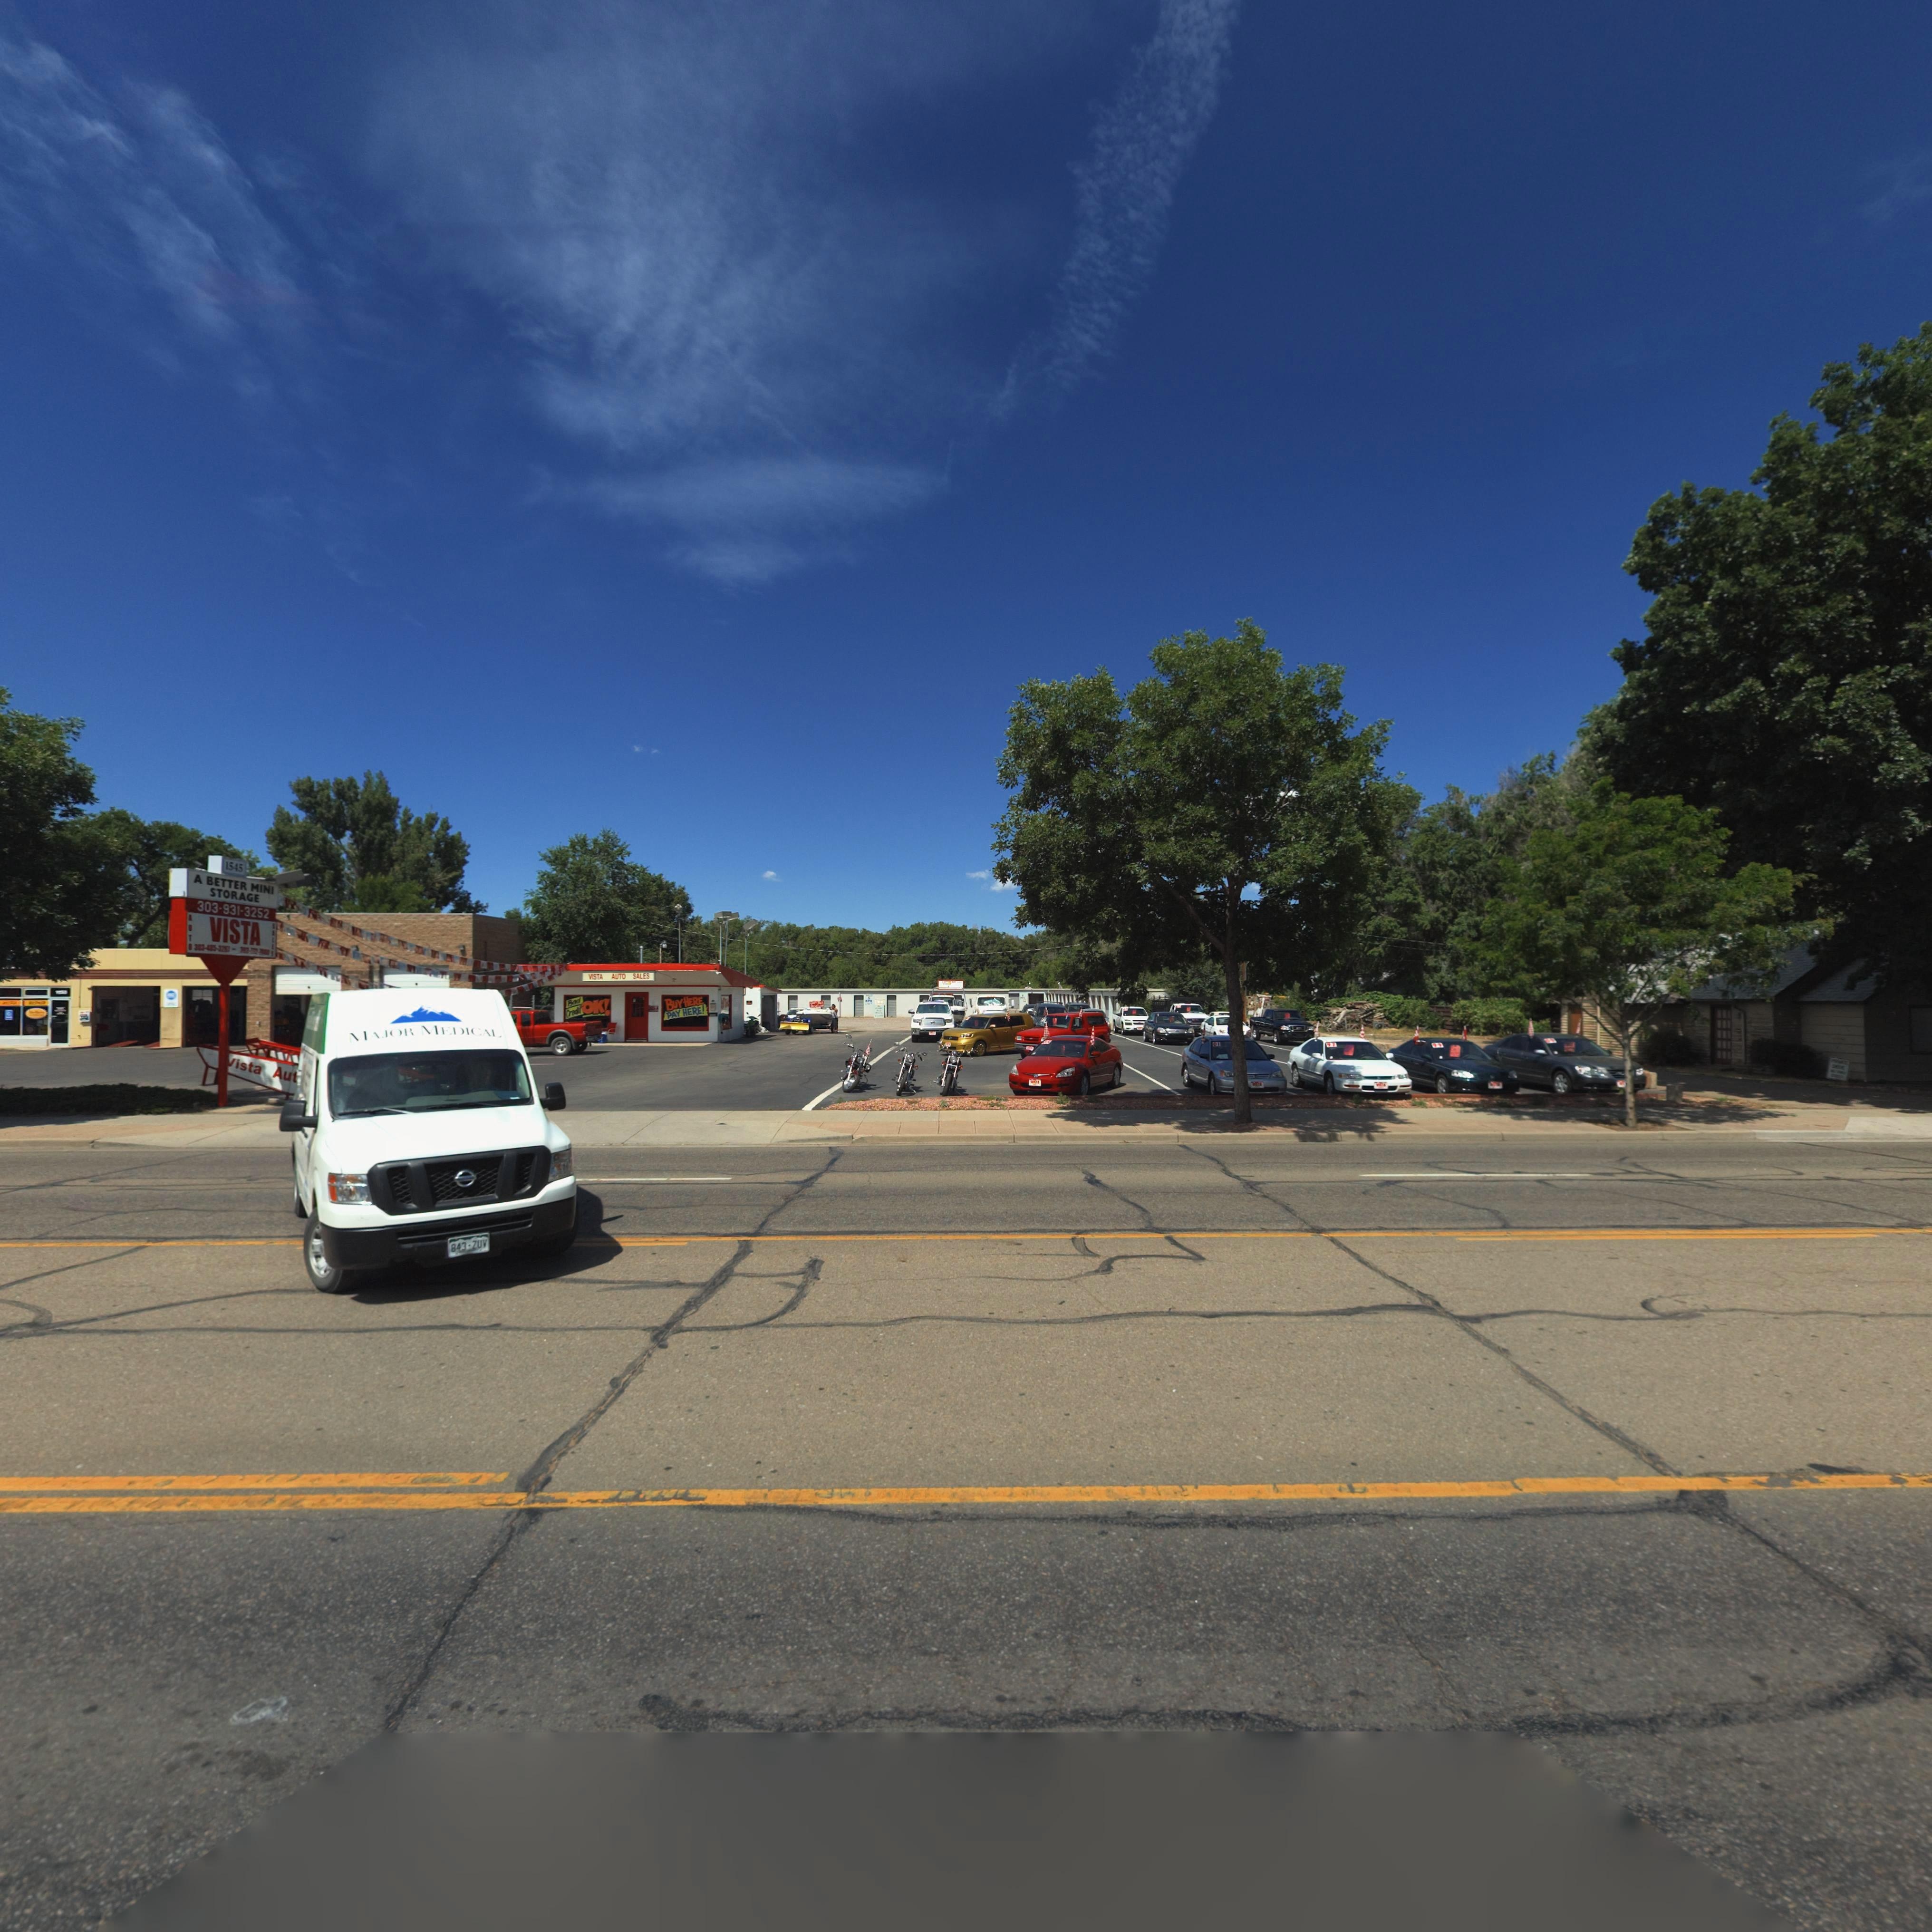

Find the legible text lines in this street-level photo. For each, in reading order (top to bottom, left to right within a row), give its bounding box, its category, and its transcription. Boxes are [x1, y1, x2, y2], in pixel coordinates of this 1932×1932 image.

[225, 860, 244, 873] StreetNumber: 1545
[187, 913, 193, 950] BusinessName: AUTO
[209, 915, 261, 947] BusinessName: VISTA
[270, 922, 275, 956] BusinessName: SALES
[587, 972, 650, 980] BusinessName: VISTA AUTO SALES
[226, 1056, 292, 1083] BusinessName: Vista Au